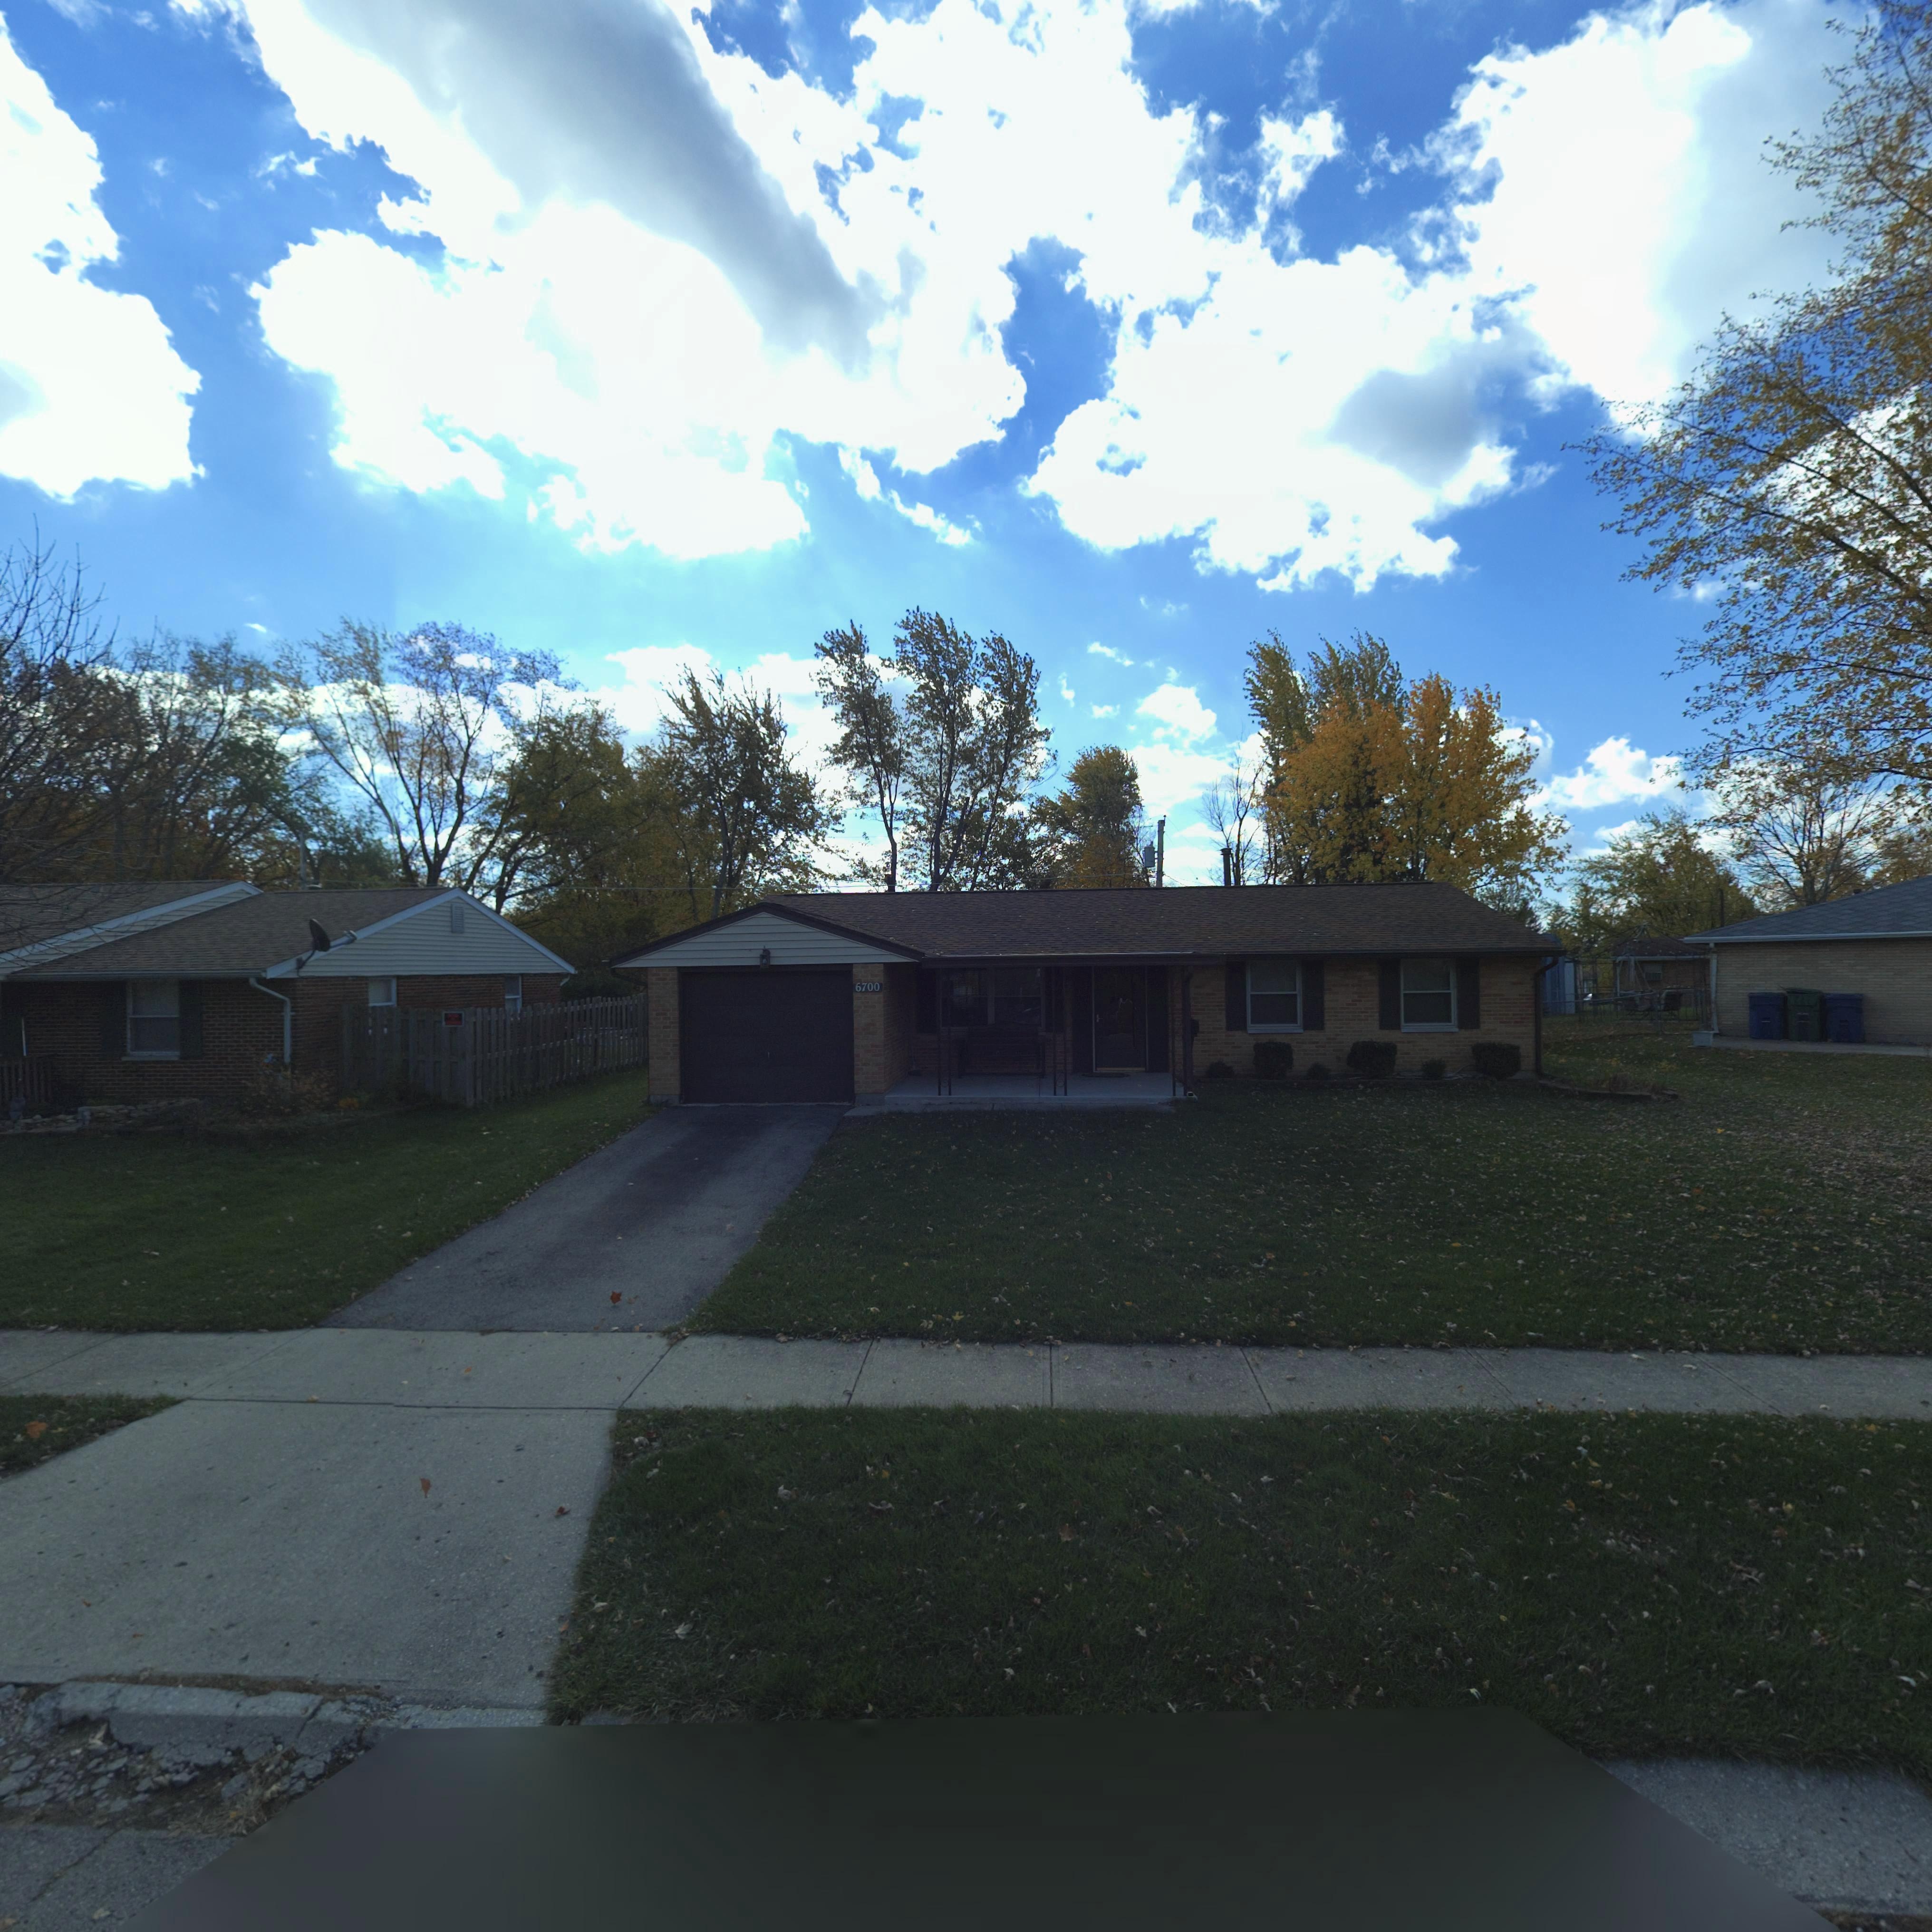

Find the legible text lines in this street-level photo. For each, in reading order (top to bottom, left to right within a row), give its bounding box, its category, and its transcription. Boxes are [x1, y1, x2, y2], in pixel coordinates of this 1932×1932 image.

[855, 982, 880, 992] StreetNumber: 6700